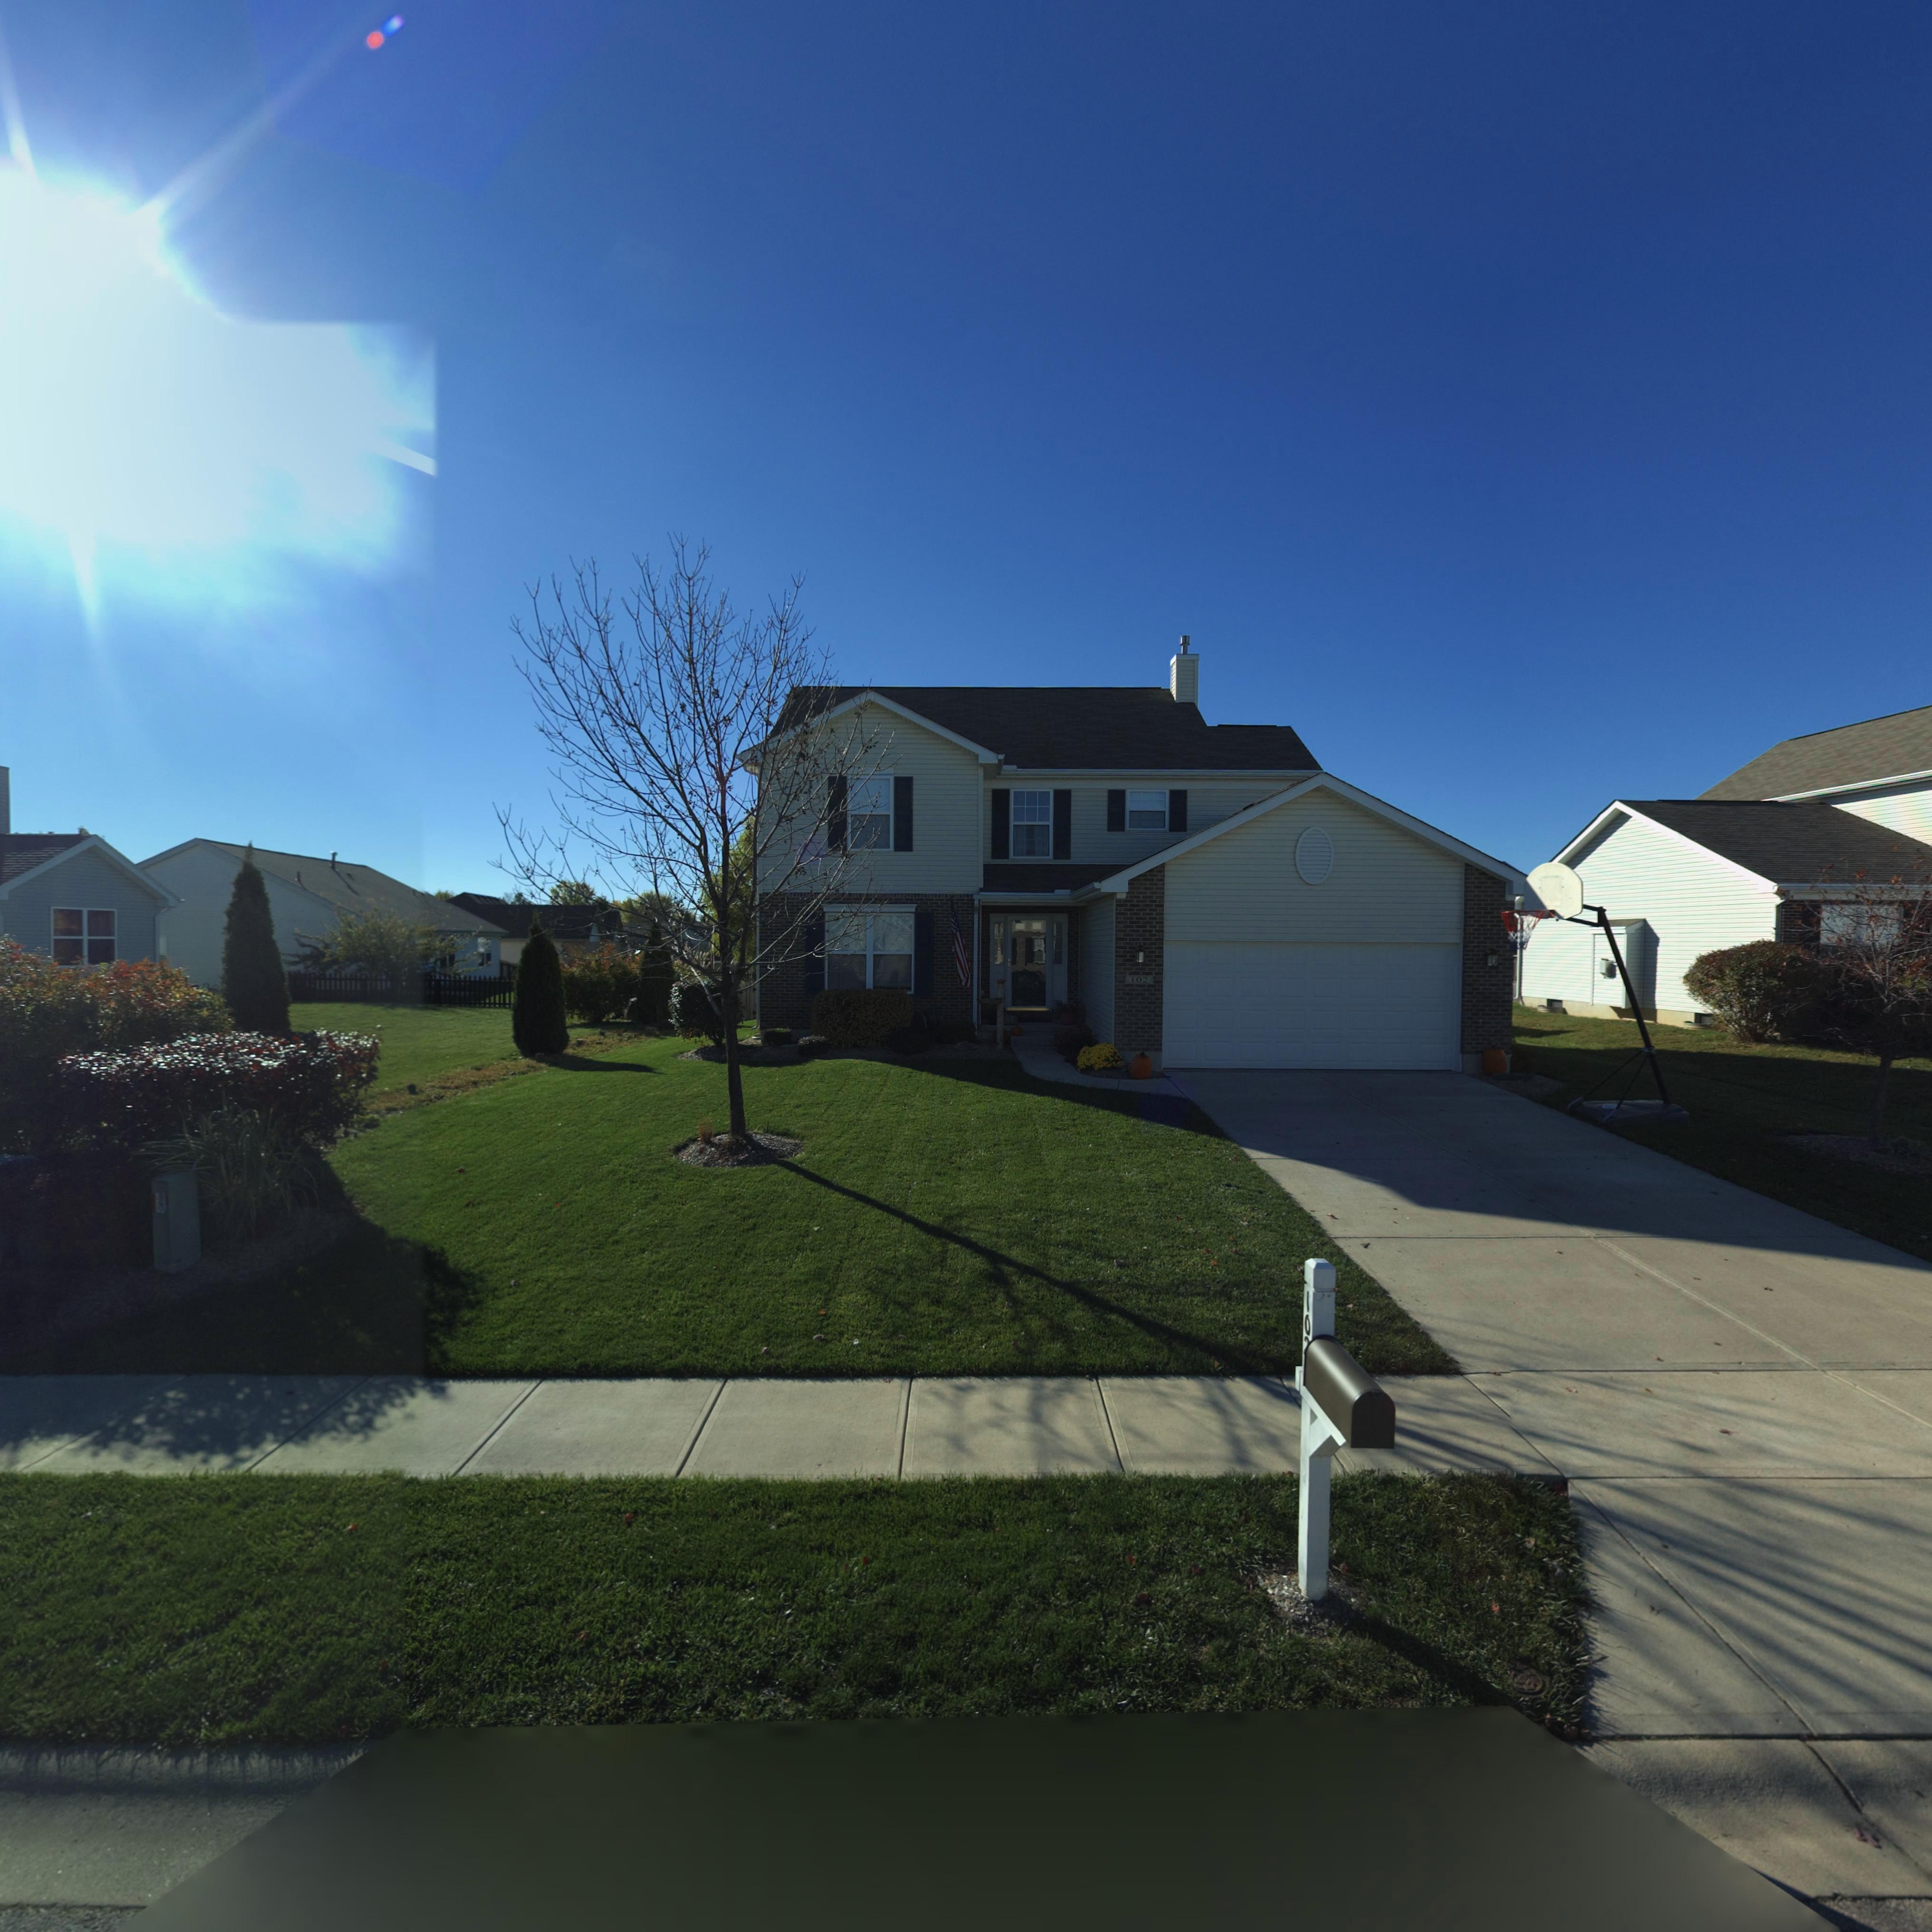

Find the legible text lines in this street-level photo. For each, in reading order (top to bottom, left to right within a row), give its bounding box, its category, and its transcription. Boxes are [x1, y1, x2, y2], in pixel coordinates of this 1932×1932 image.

[1131, 976, 1148, 984] StreetNumber: 102
[1304, 1290, 1312, 1337] StreetNumber: 10